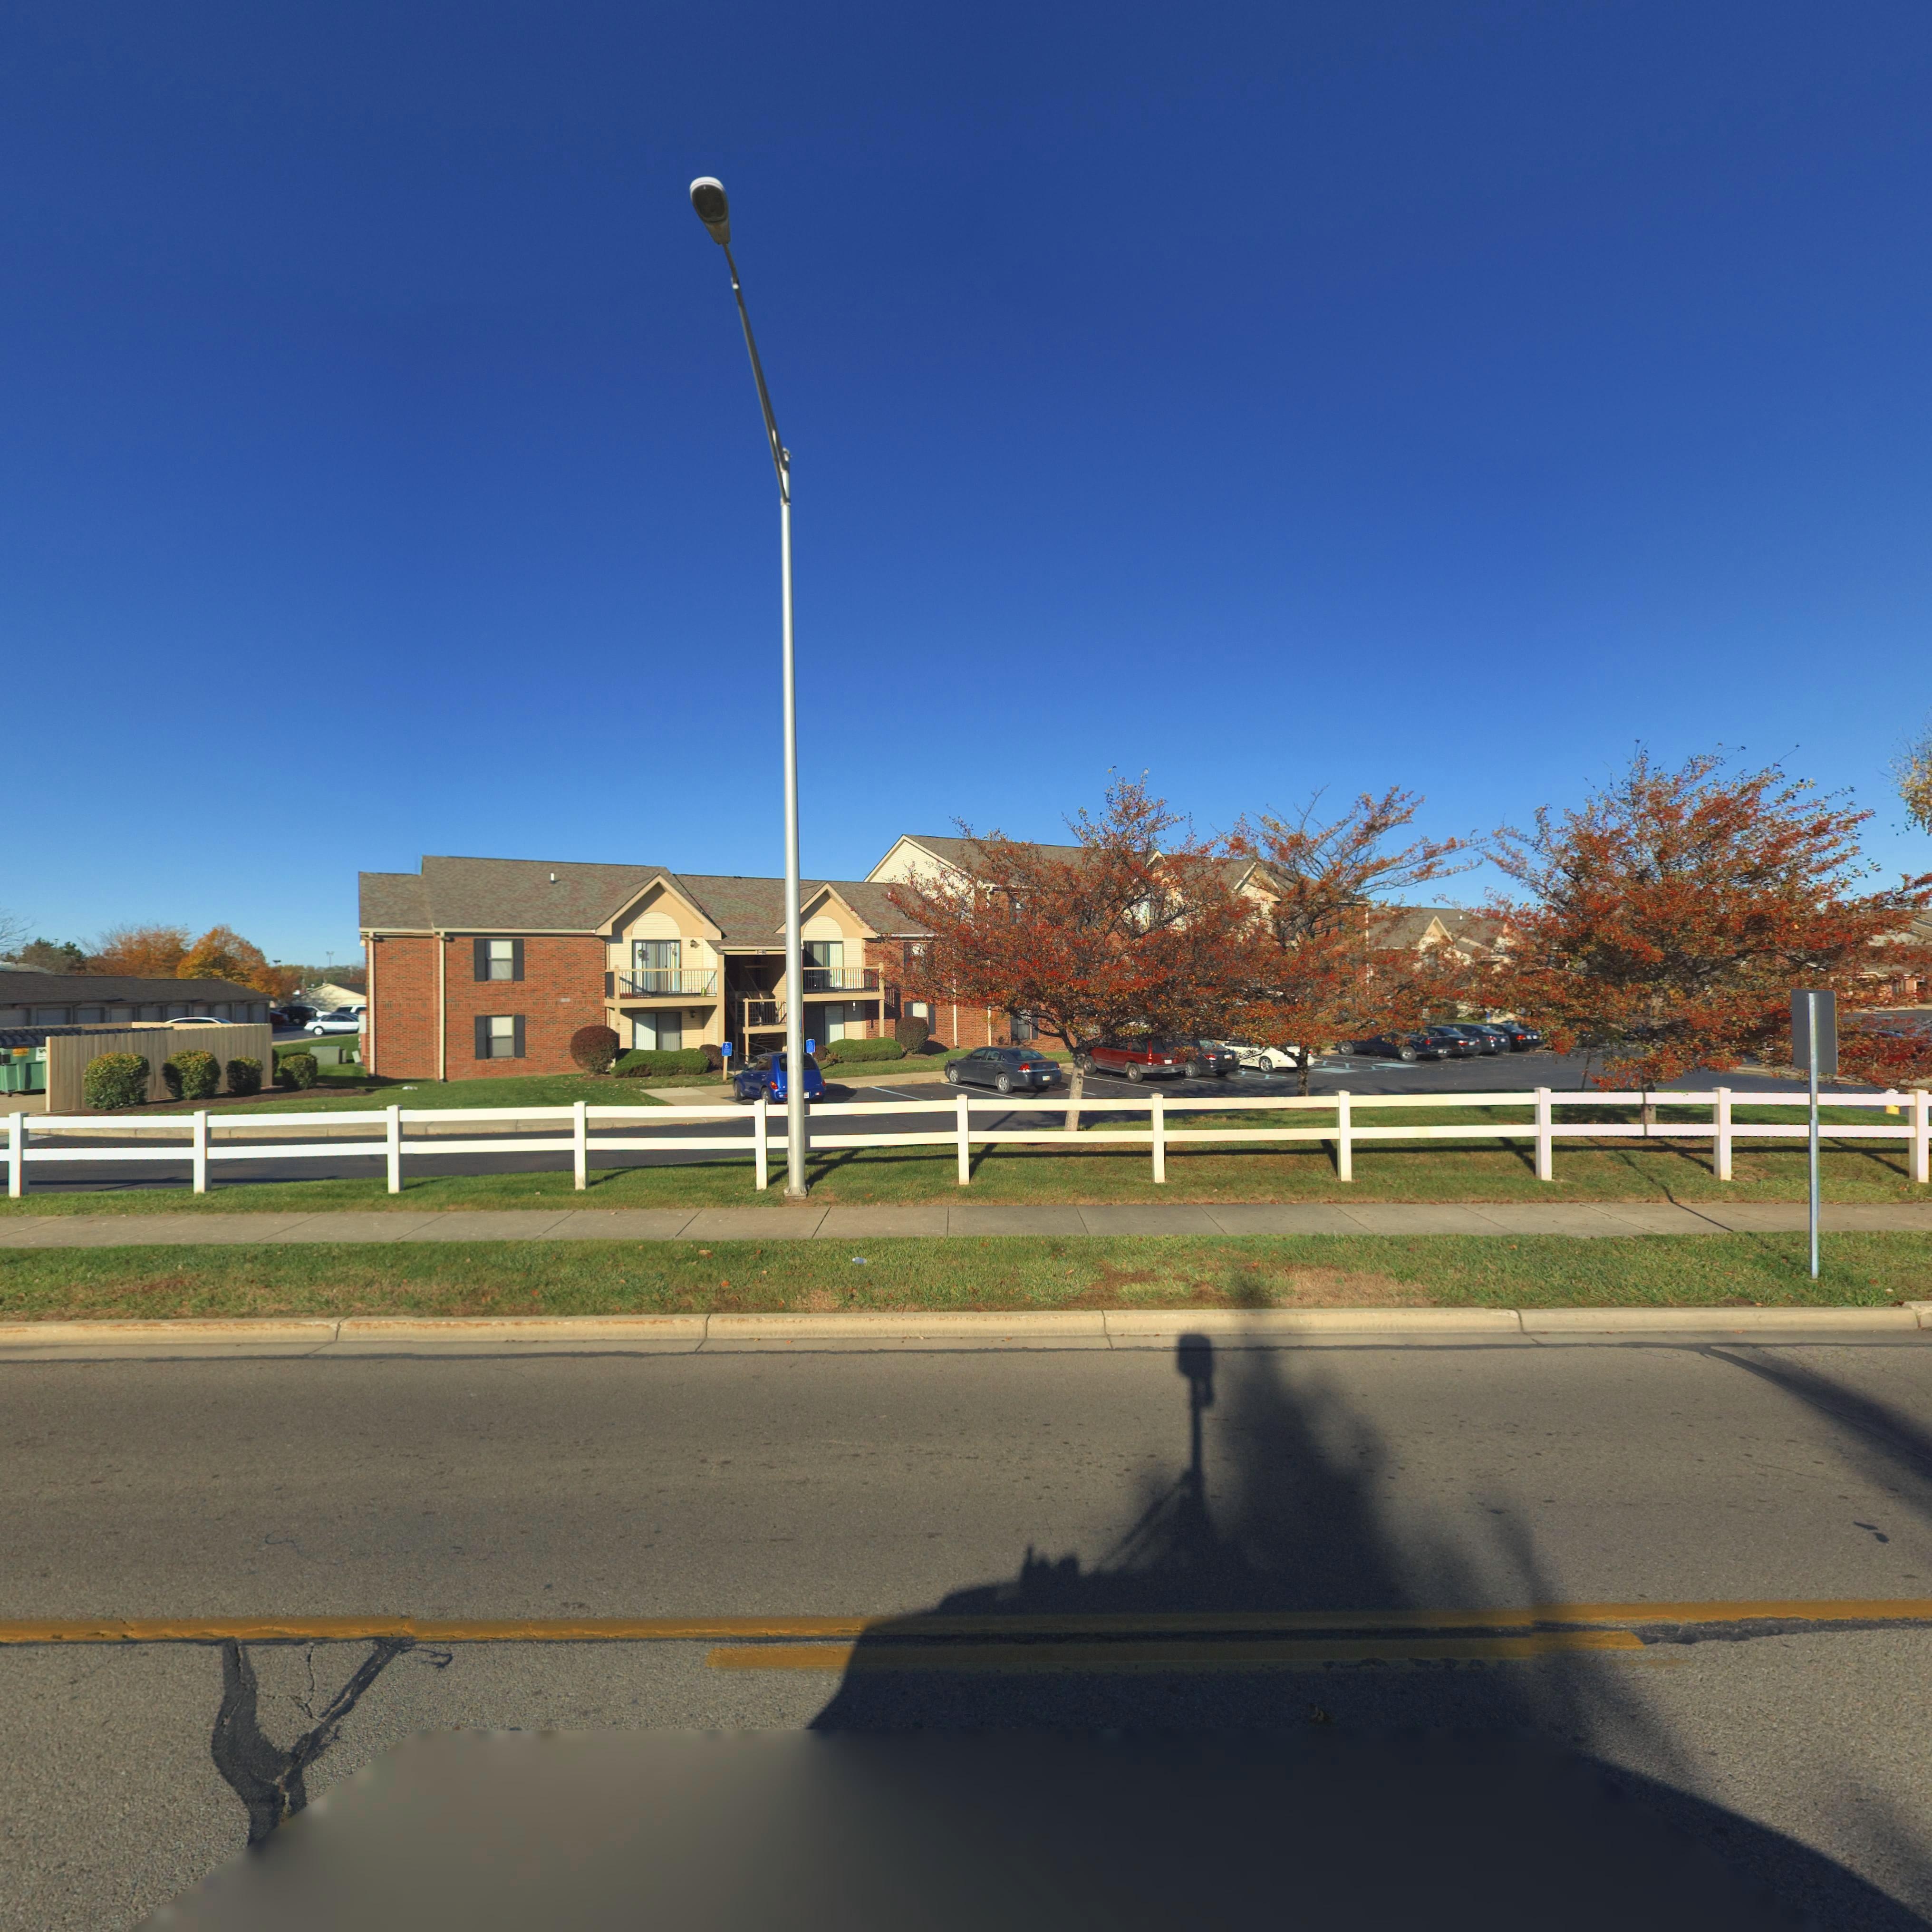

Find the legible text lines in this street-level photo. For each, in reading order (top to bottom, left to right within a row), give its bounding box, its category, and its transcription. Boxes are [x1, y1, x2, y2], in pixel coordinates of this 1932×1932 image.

[756, 950, 759, 955] StreetNumber: 1
[762, 949, 765, 955] StreetNumber: 8